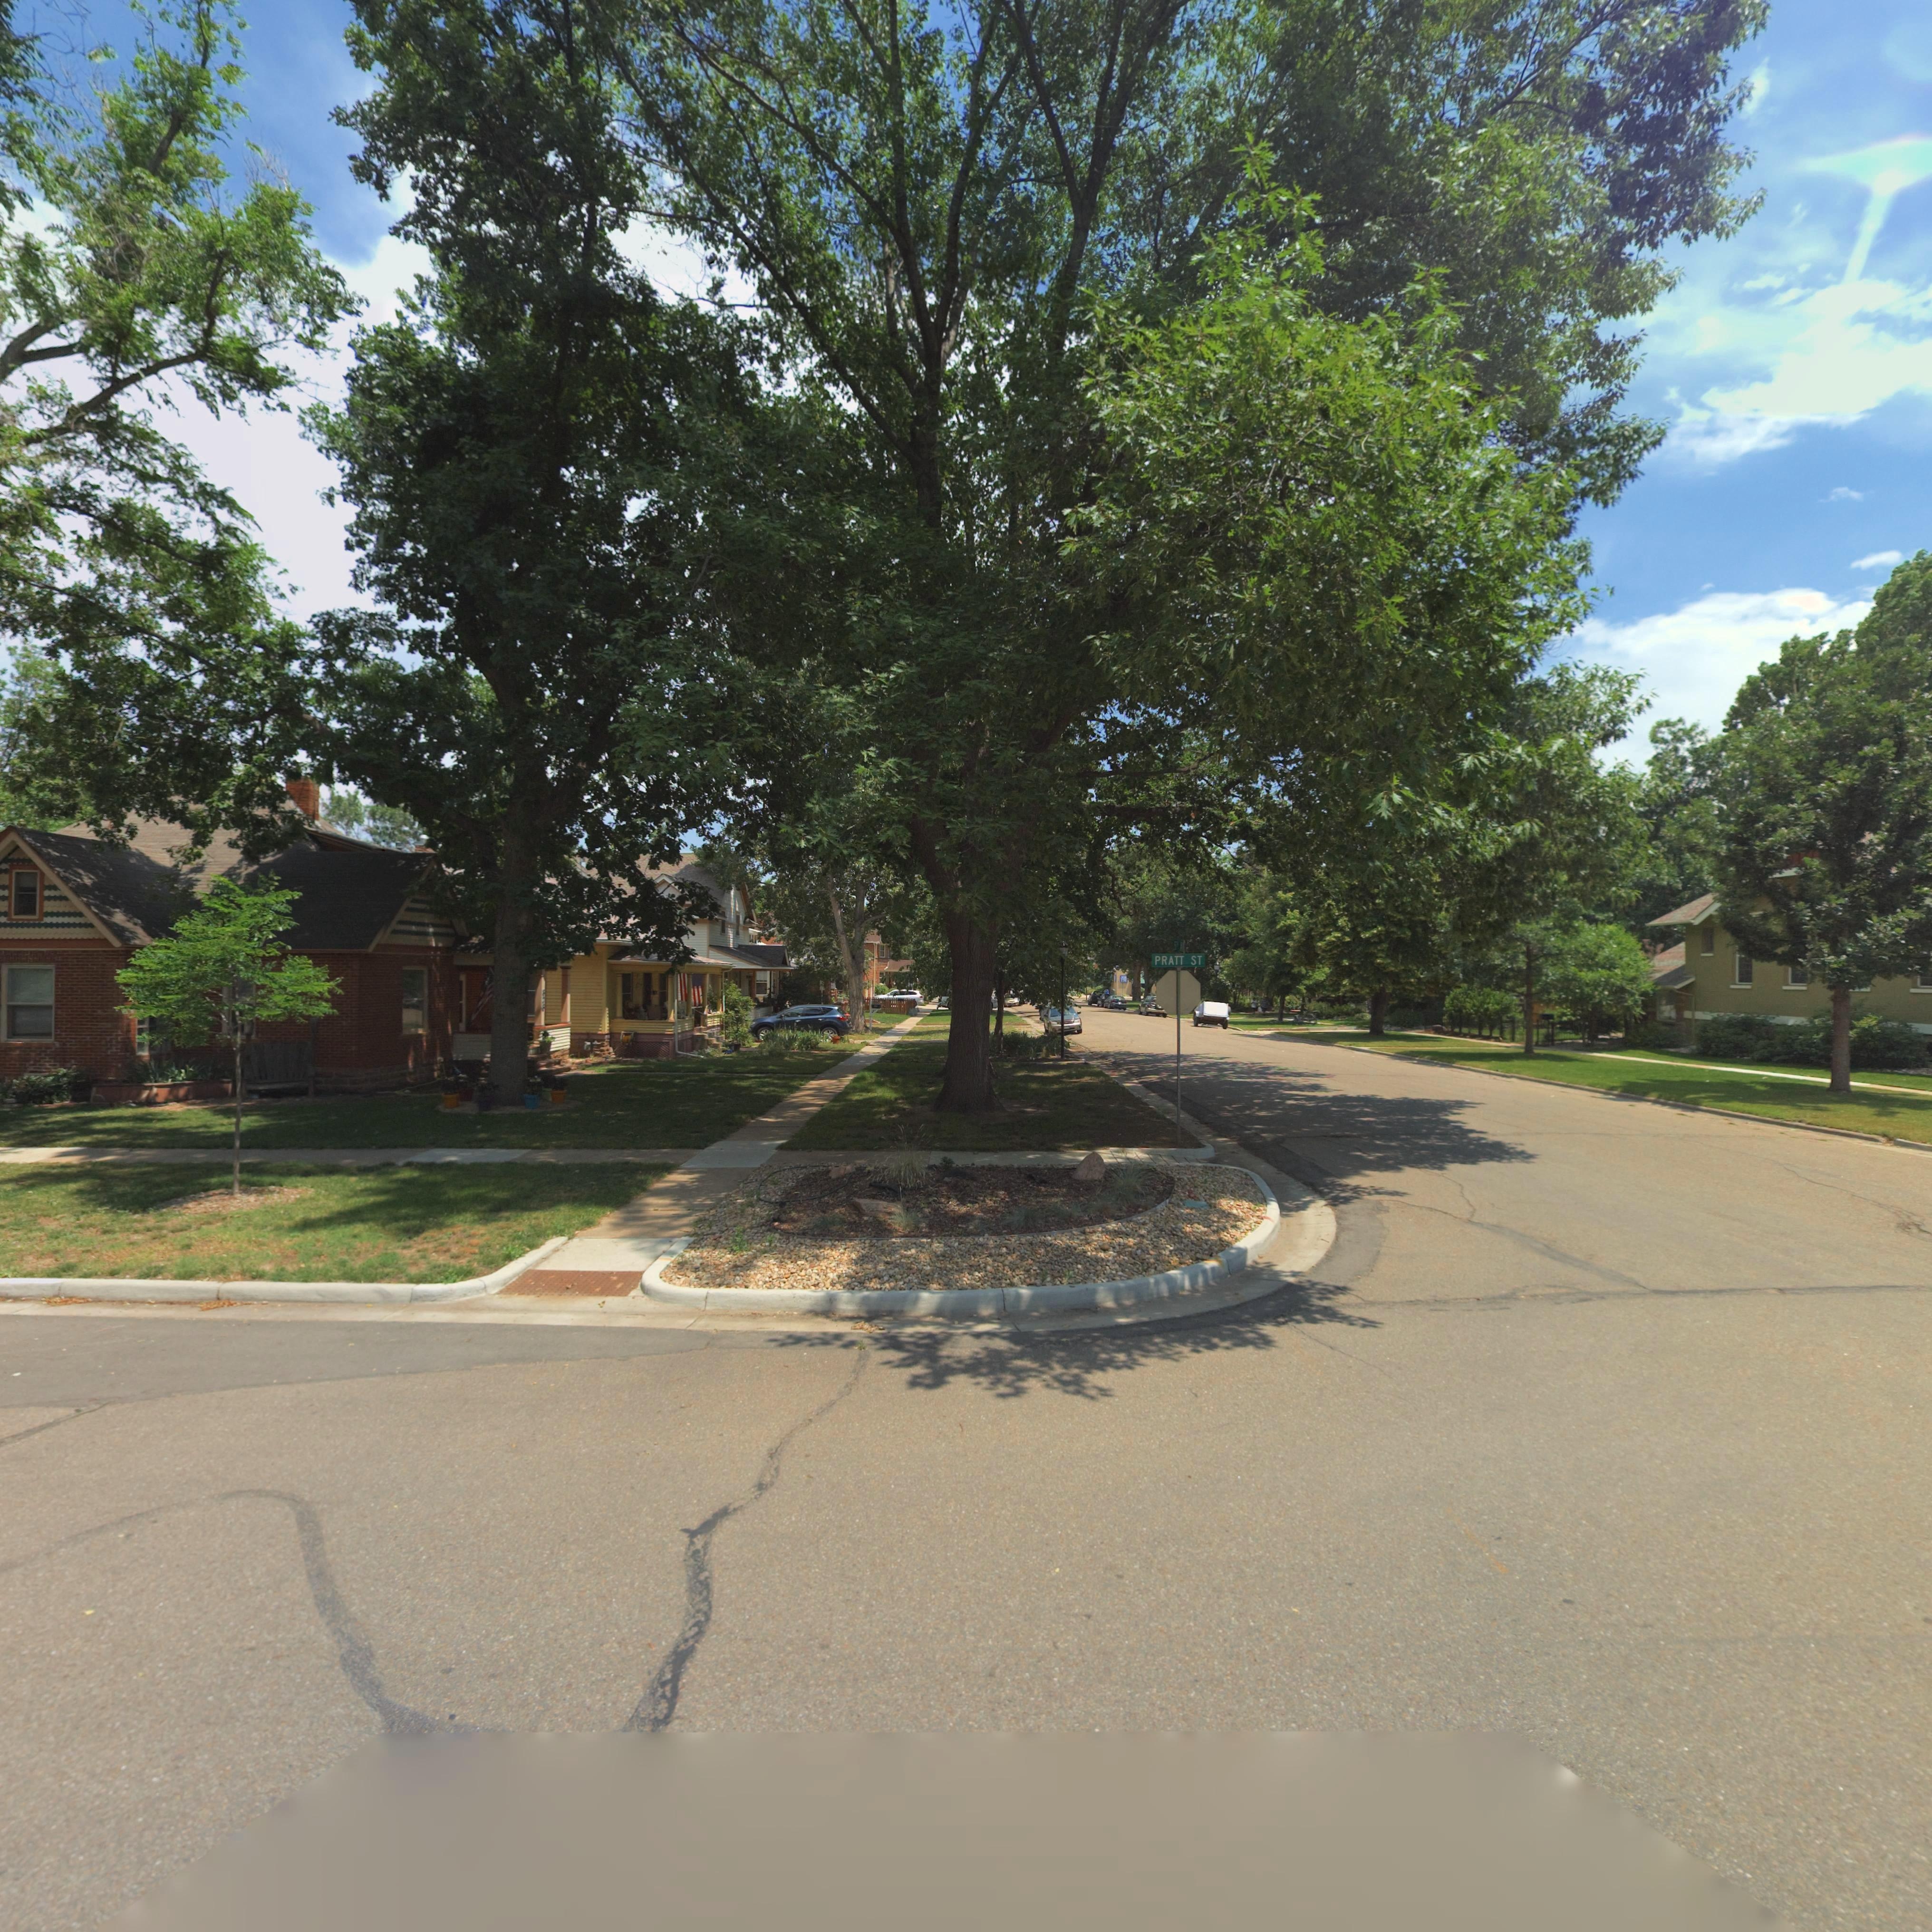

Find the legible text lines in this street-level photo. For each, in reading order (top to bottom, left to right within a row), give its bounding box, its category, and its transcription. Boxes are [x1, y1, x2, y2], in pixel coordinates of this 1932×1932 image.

[1155, 956, 1202, 965] StreetName: PRATT ST